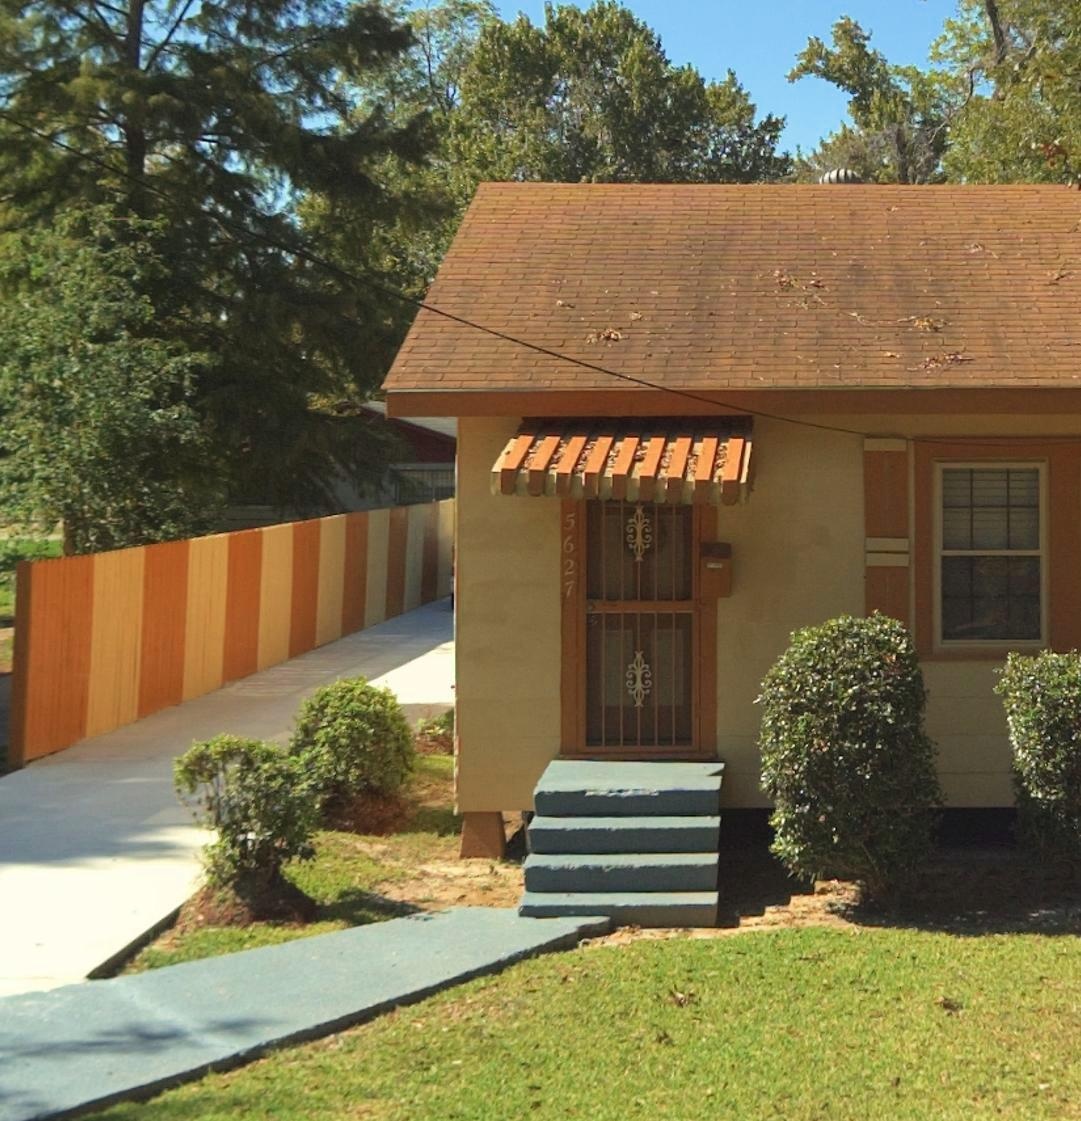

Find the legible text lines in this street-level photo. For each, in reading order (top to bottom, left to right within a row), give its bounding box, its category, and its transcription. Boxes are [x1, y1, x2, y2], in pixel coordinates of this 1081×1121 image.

[562, 511, 576, 599] StreetNumber: 5627